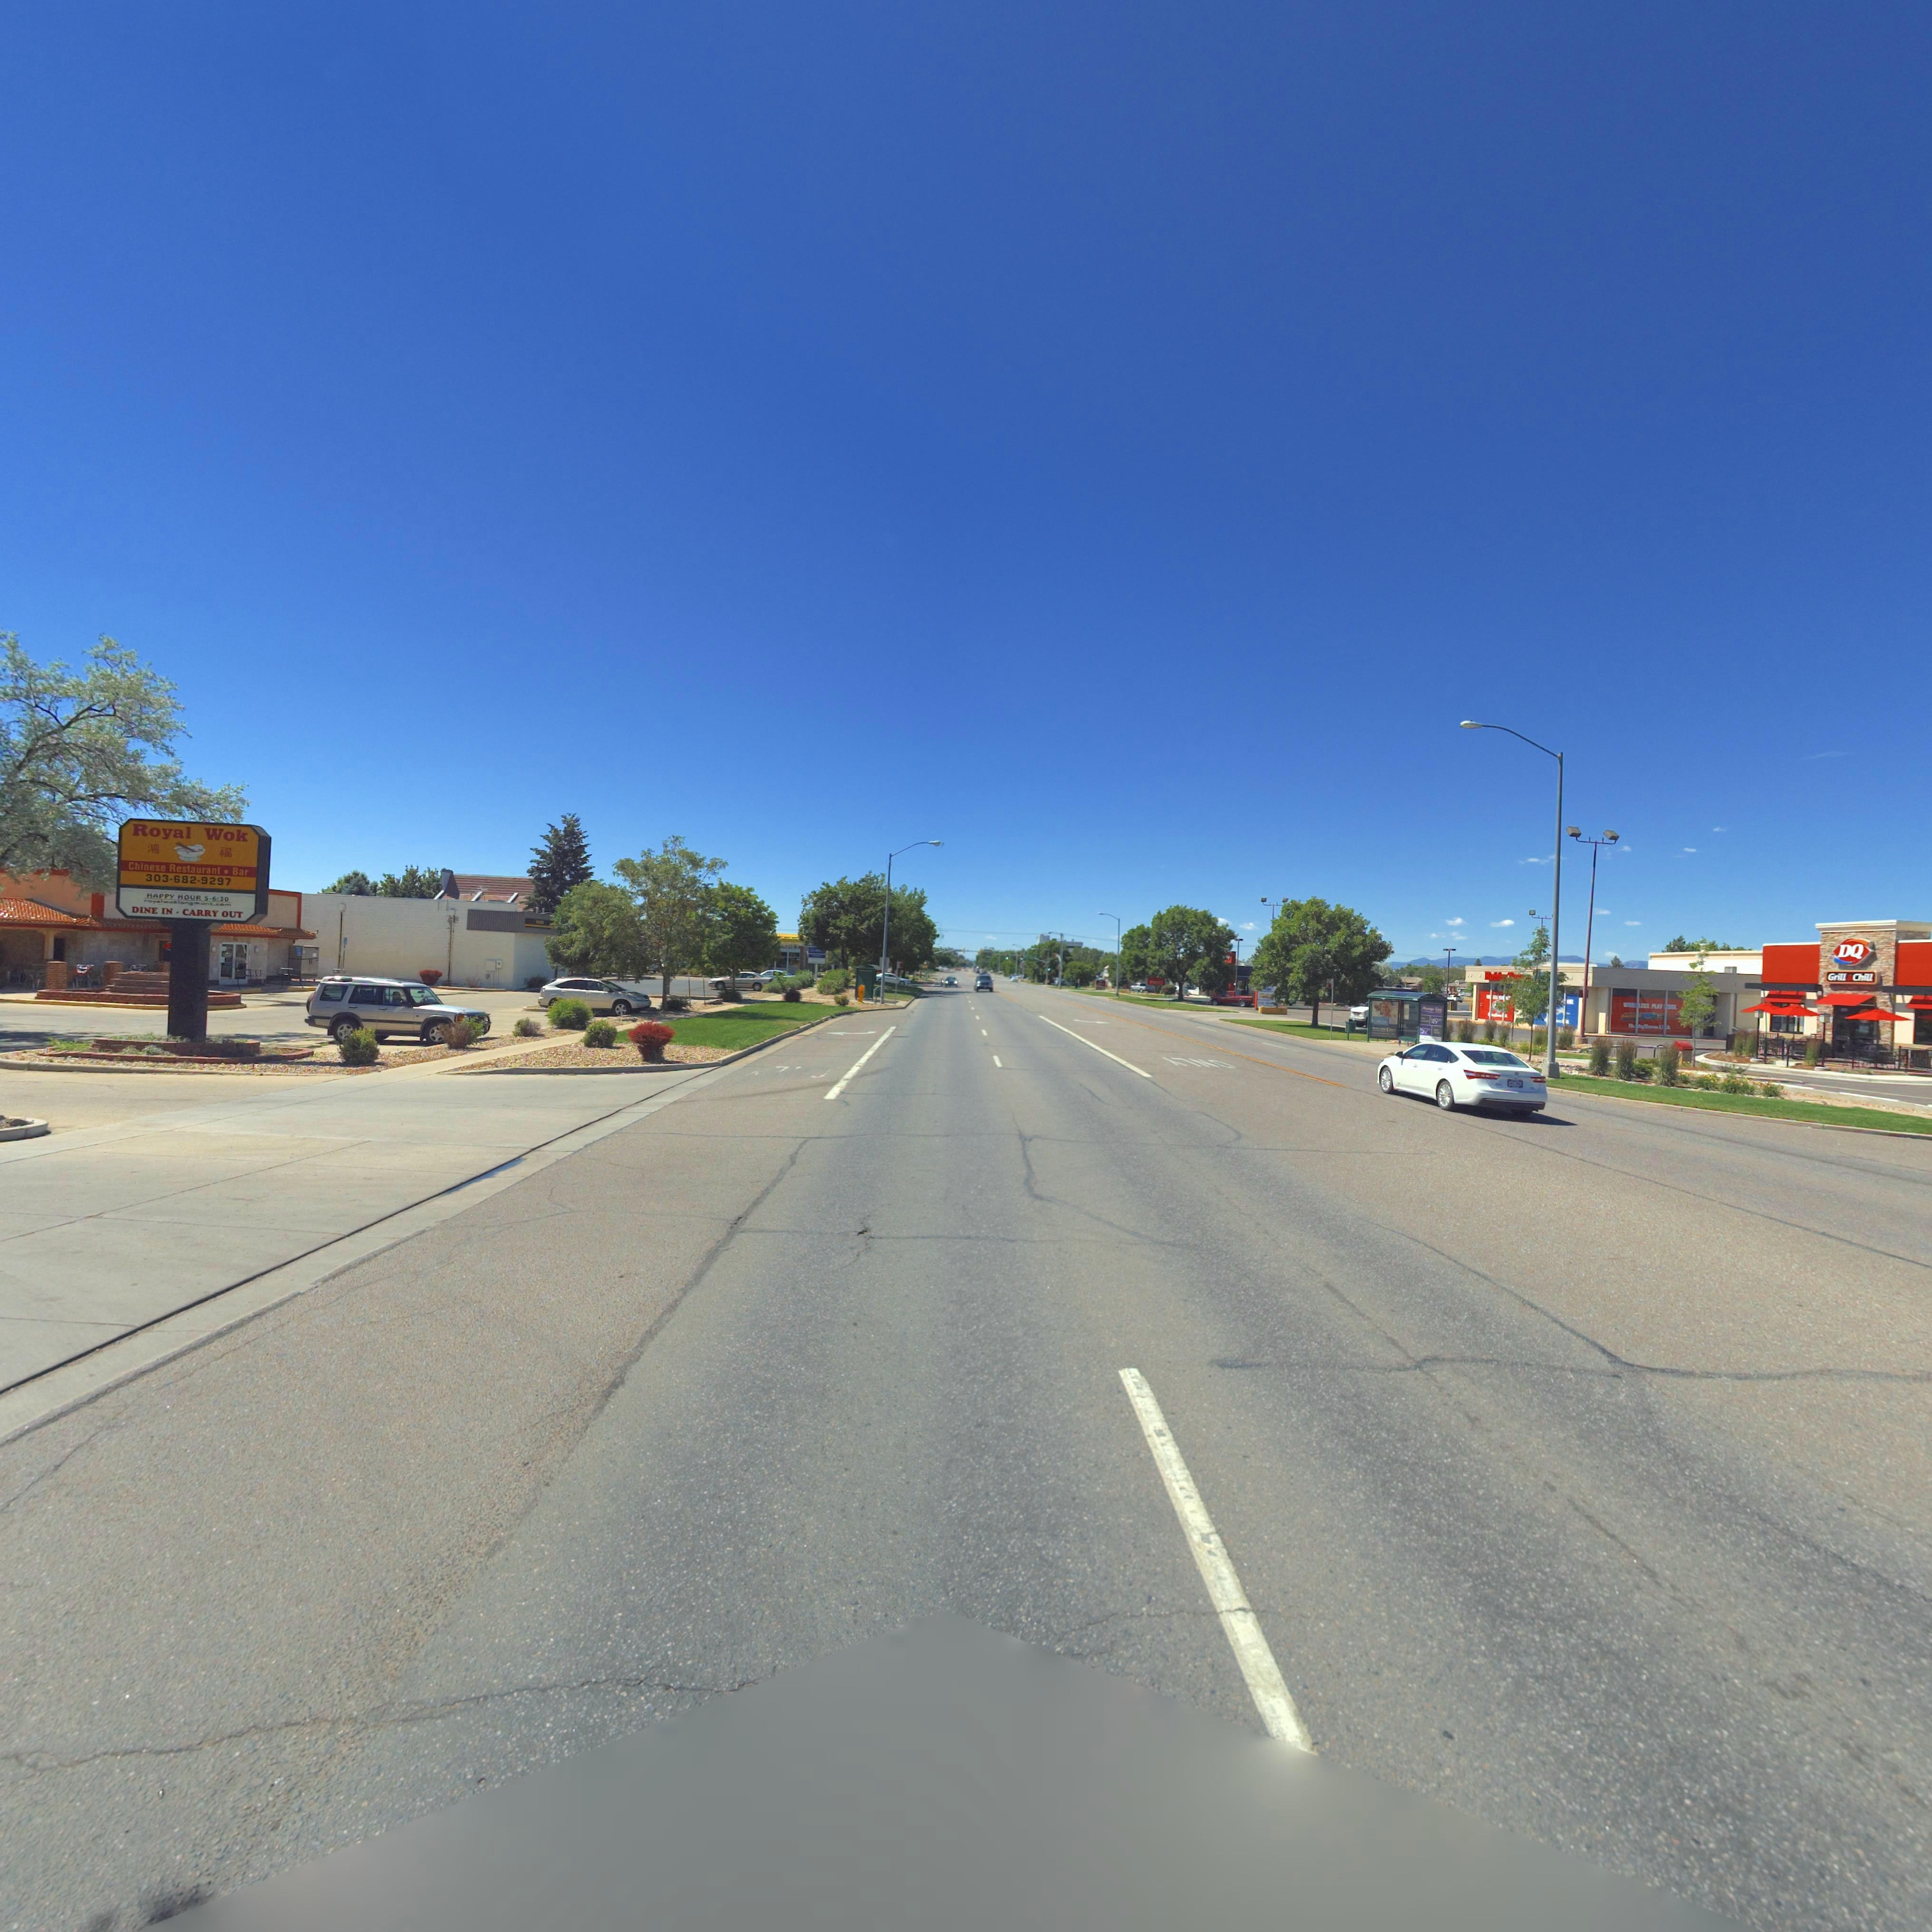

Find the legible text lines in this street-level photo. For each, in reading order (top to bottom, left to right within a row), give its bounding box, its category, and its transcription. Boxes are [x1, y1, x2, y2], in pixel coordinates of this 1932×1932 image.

[131, 823, 249, 842] BusinessName: Royal Wok
[782, 944, 800, 949] BusinessName: nald's
[1836, 943, 1864, 959] BusinessName: DQ
[1484, 972, 1531, 983] BusinessName: Hobb*****
[1827, 973, 1874, 981] BusinessName: Grill & Chill
[1628, 1023, 1671, 1030] BusinessName: H88byTown U*A